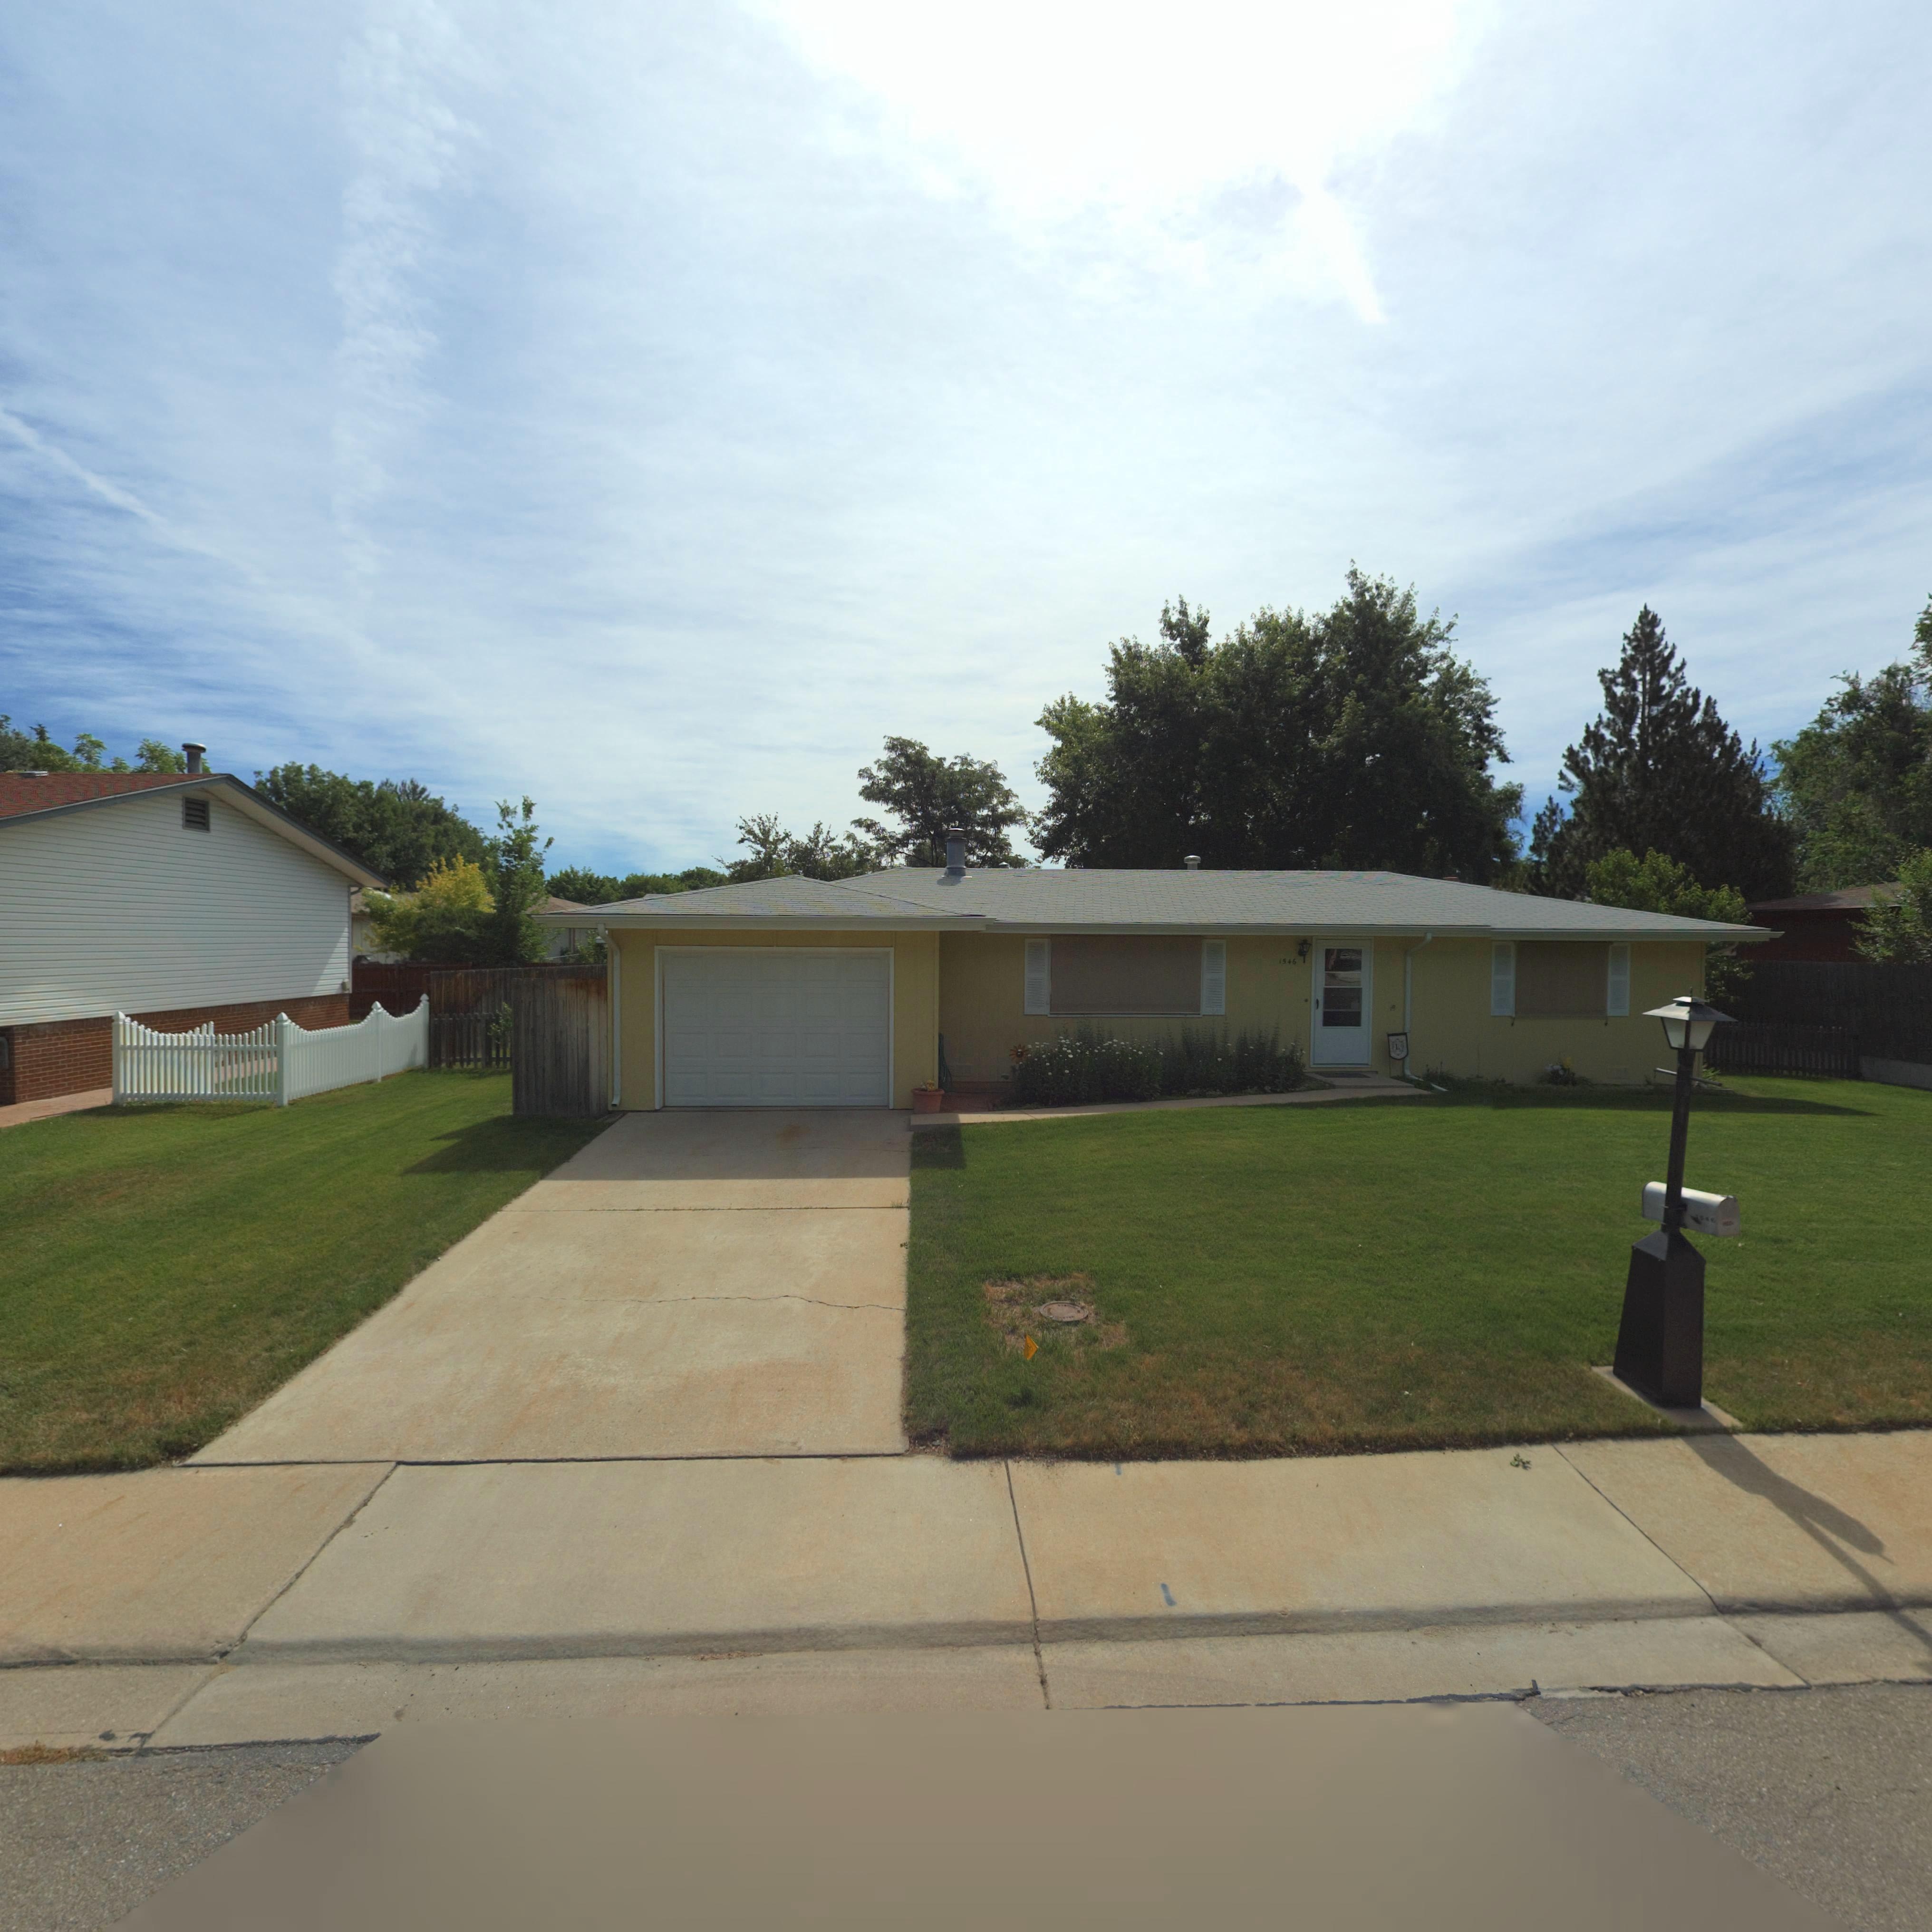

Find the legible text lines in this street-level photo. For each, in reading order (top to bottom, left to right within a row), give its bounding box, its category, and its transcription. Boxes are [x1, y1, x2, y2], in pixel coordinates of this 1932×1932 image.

[1279, 957, 1297, 965] StreetNumber: 1546